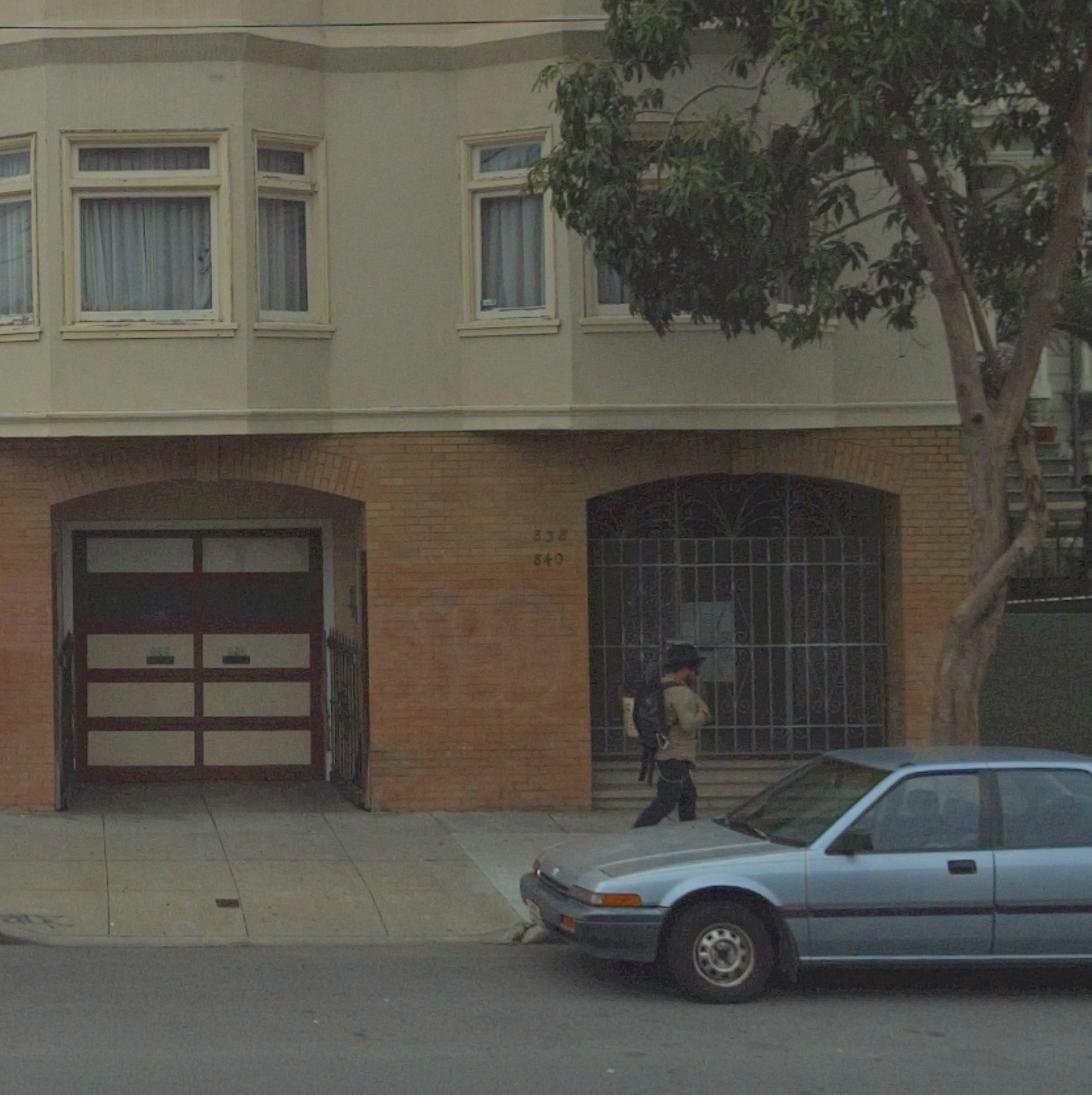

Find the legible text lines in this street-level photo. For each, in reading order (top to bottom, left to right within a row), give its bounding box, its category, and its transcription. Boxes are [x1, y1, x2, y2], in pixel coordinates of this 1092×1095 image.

[532, 528, 568, 543] StreetNumber: 838
[532, 551, 564, 569] StreetNumber: 840